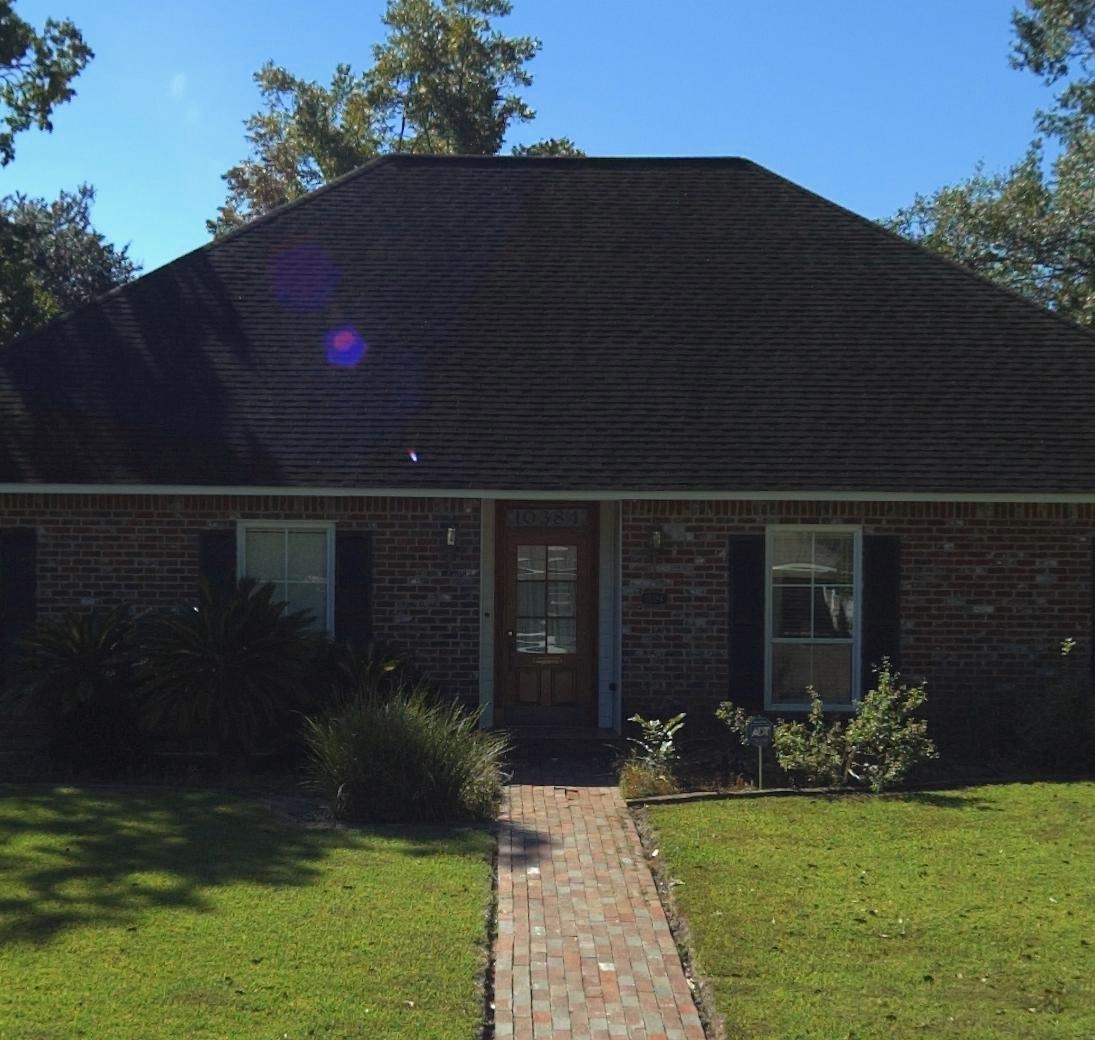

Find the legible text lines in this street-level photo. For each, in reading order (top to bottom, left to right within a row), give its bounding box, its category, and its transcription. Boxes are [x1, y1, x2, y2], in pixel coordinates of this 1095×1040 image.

[514, 509, 580, 526] StreetNumber: 10384
[750, 725, 772, 738] None: ADT